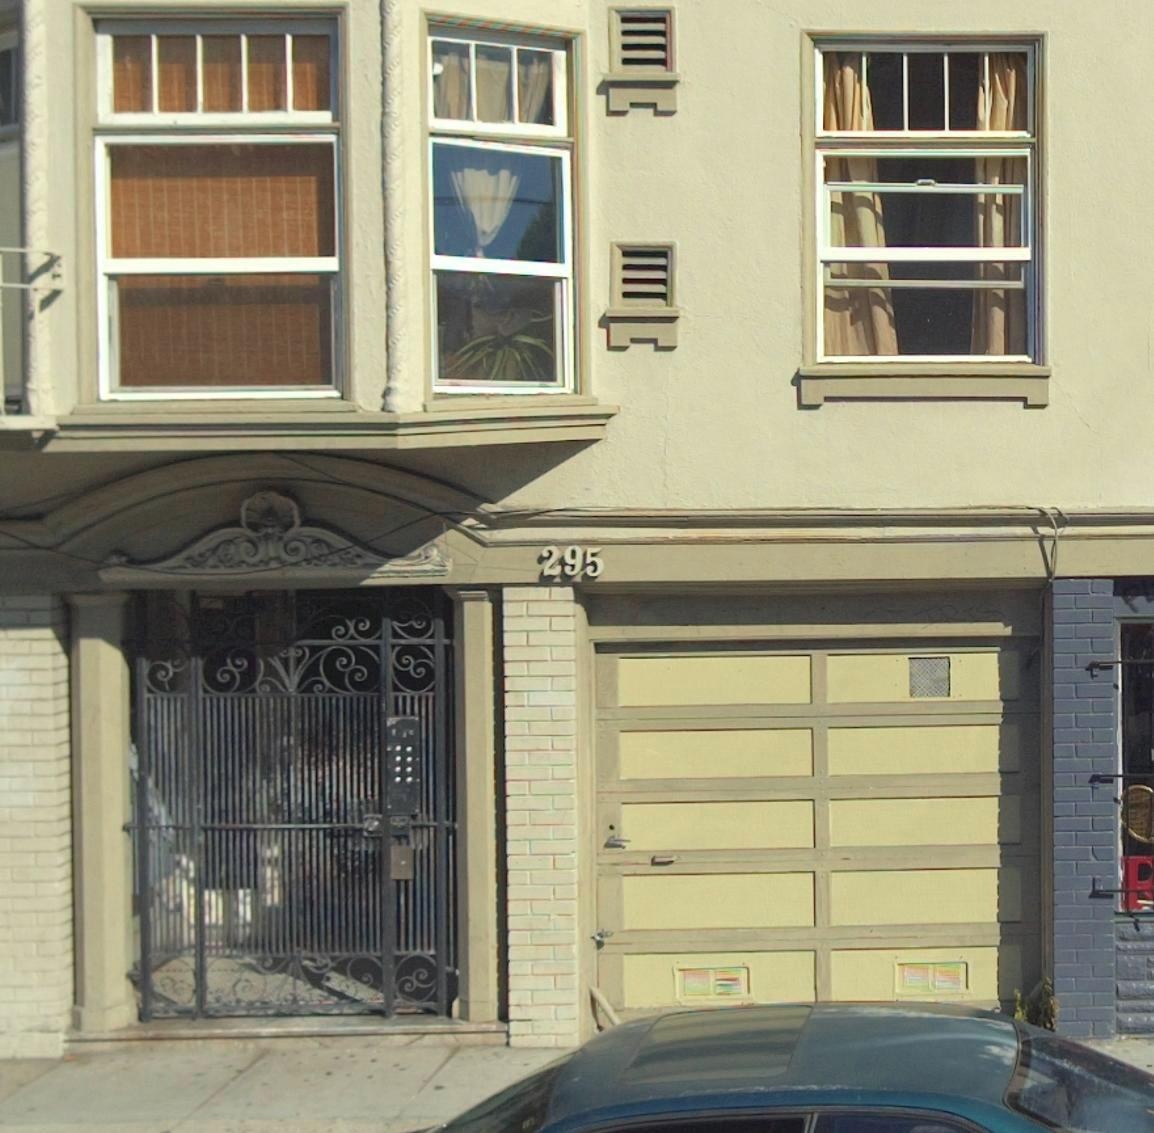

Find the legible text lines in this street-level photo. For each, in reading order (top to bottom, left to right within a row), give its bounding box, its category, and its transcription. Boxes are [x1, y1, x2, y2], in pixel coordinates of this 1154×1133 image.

[541, 544, 606, 578] StreetNumber: 295